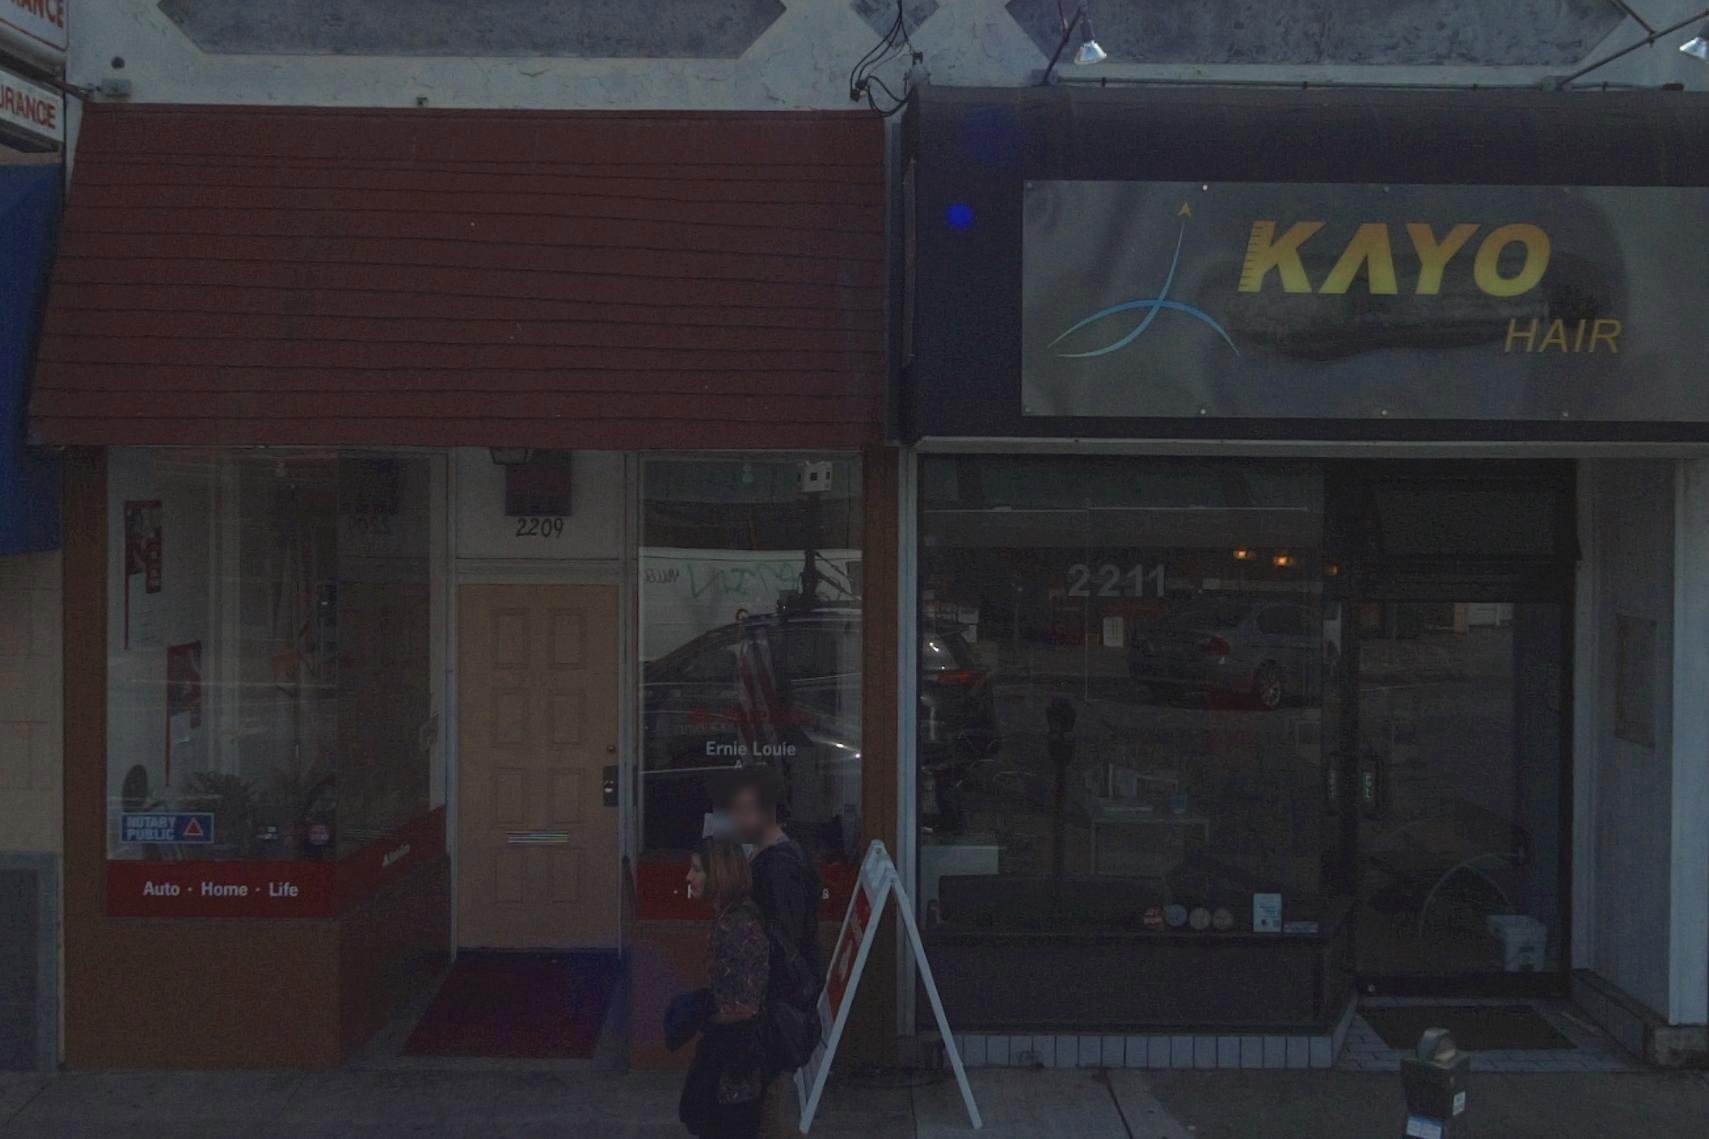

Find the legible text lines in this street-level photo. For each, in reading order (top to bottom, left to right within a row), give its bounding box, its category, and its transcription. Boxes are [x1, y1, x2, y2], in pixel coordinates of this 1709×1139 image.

[4, 82, 57, 133] None: RANCE
[1235, 215, 1554, 300] BusinessName: K*YO
[1502, 313, 1625, 356] BusinessName: HAIR
[514, 516, 566, 540] StreetNumber: 2209
[1066, 561, 1168, 599] StreetNumber: 2211
[705, 739, 798, 758] None: Ernie Louie
[126, 814, 178, 830] None: NOTARY
[125, 827, 176, 842] None: PUBLIC
[140, 878, 301, 898] None: Auto * Home * Life